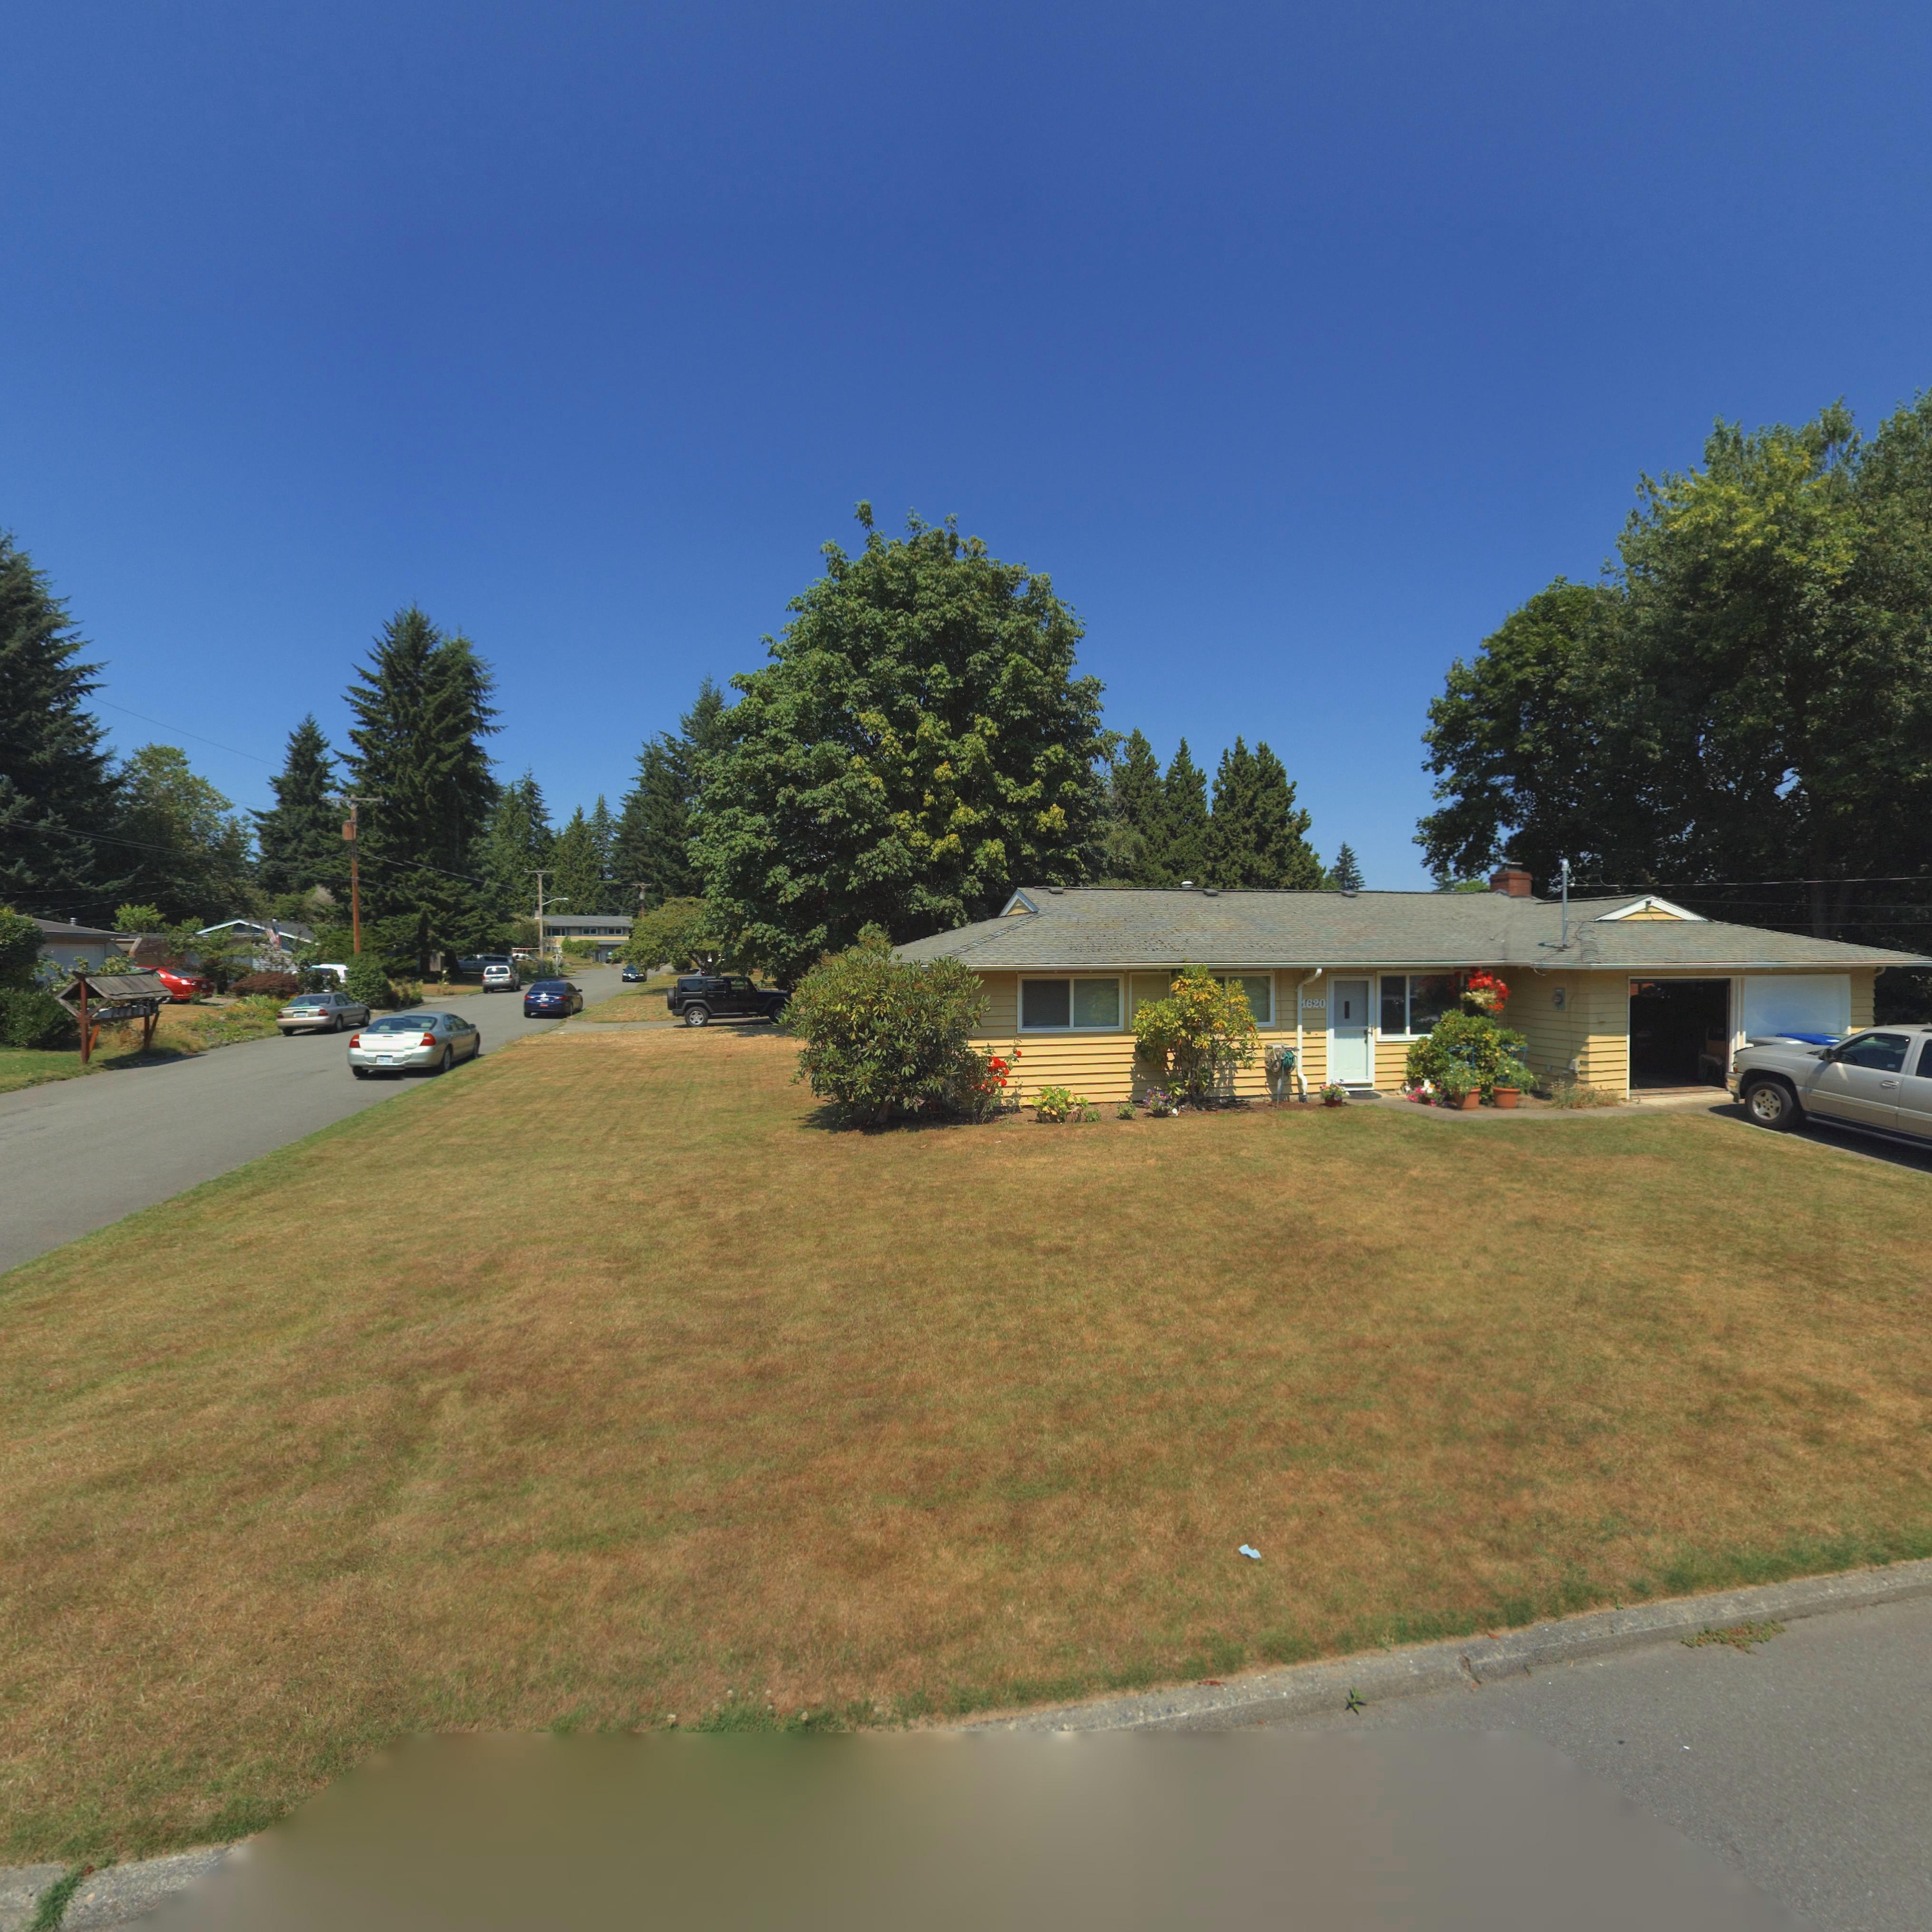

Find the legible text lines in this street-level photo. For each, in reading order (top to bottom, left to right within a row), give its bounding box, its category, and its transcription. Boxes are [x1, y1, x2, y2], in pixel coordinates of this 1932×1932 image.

[1302, 998, 1325, 1007] StreetNumber: 1620